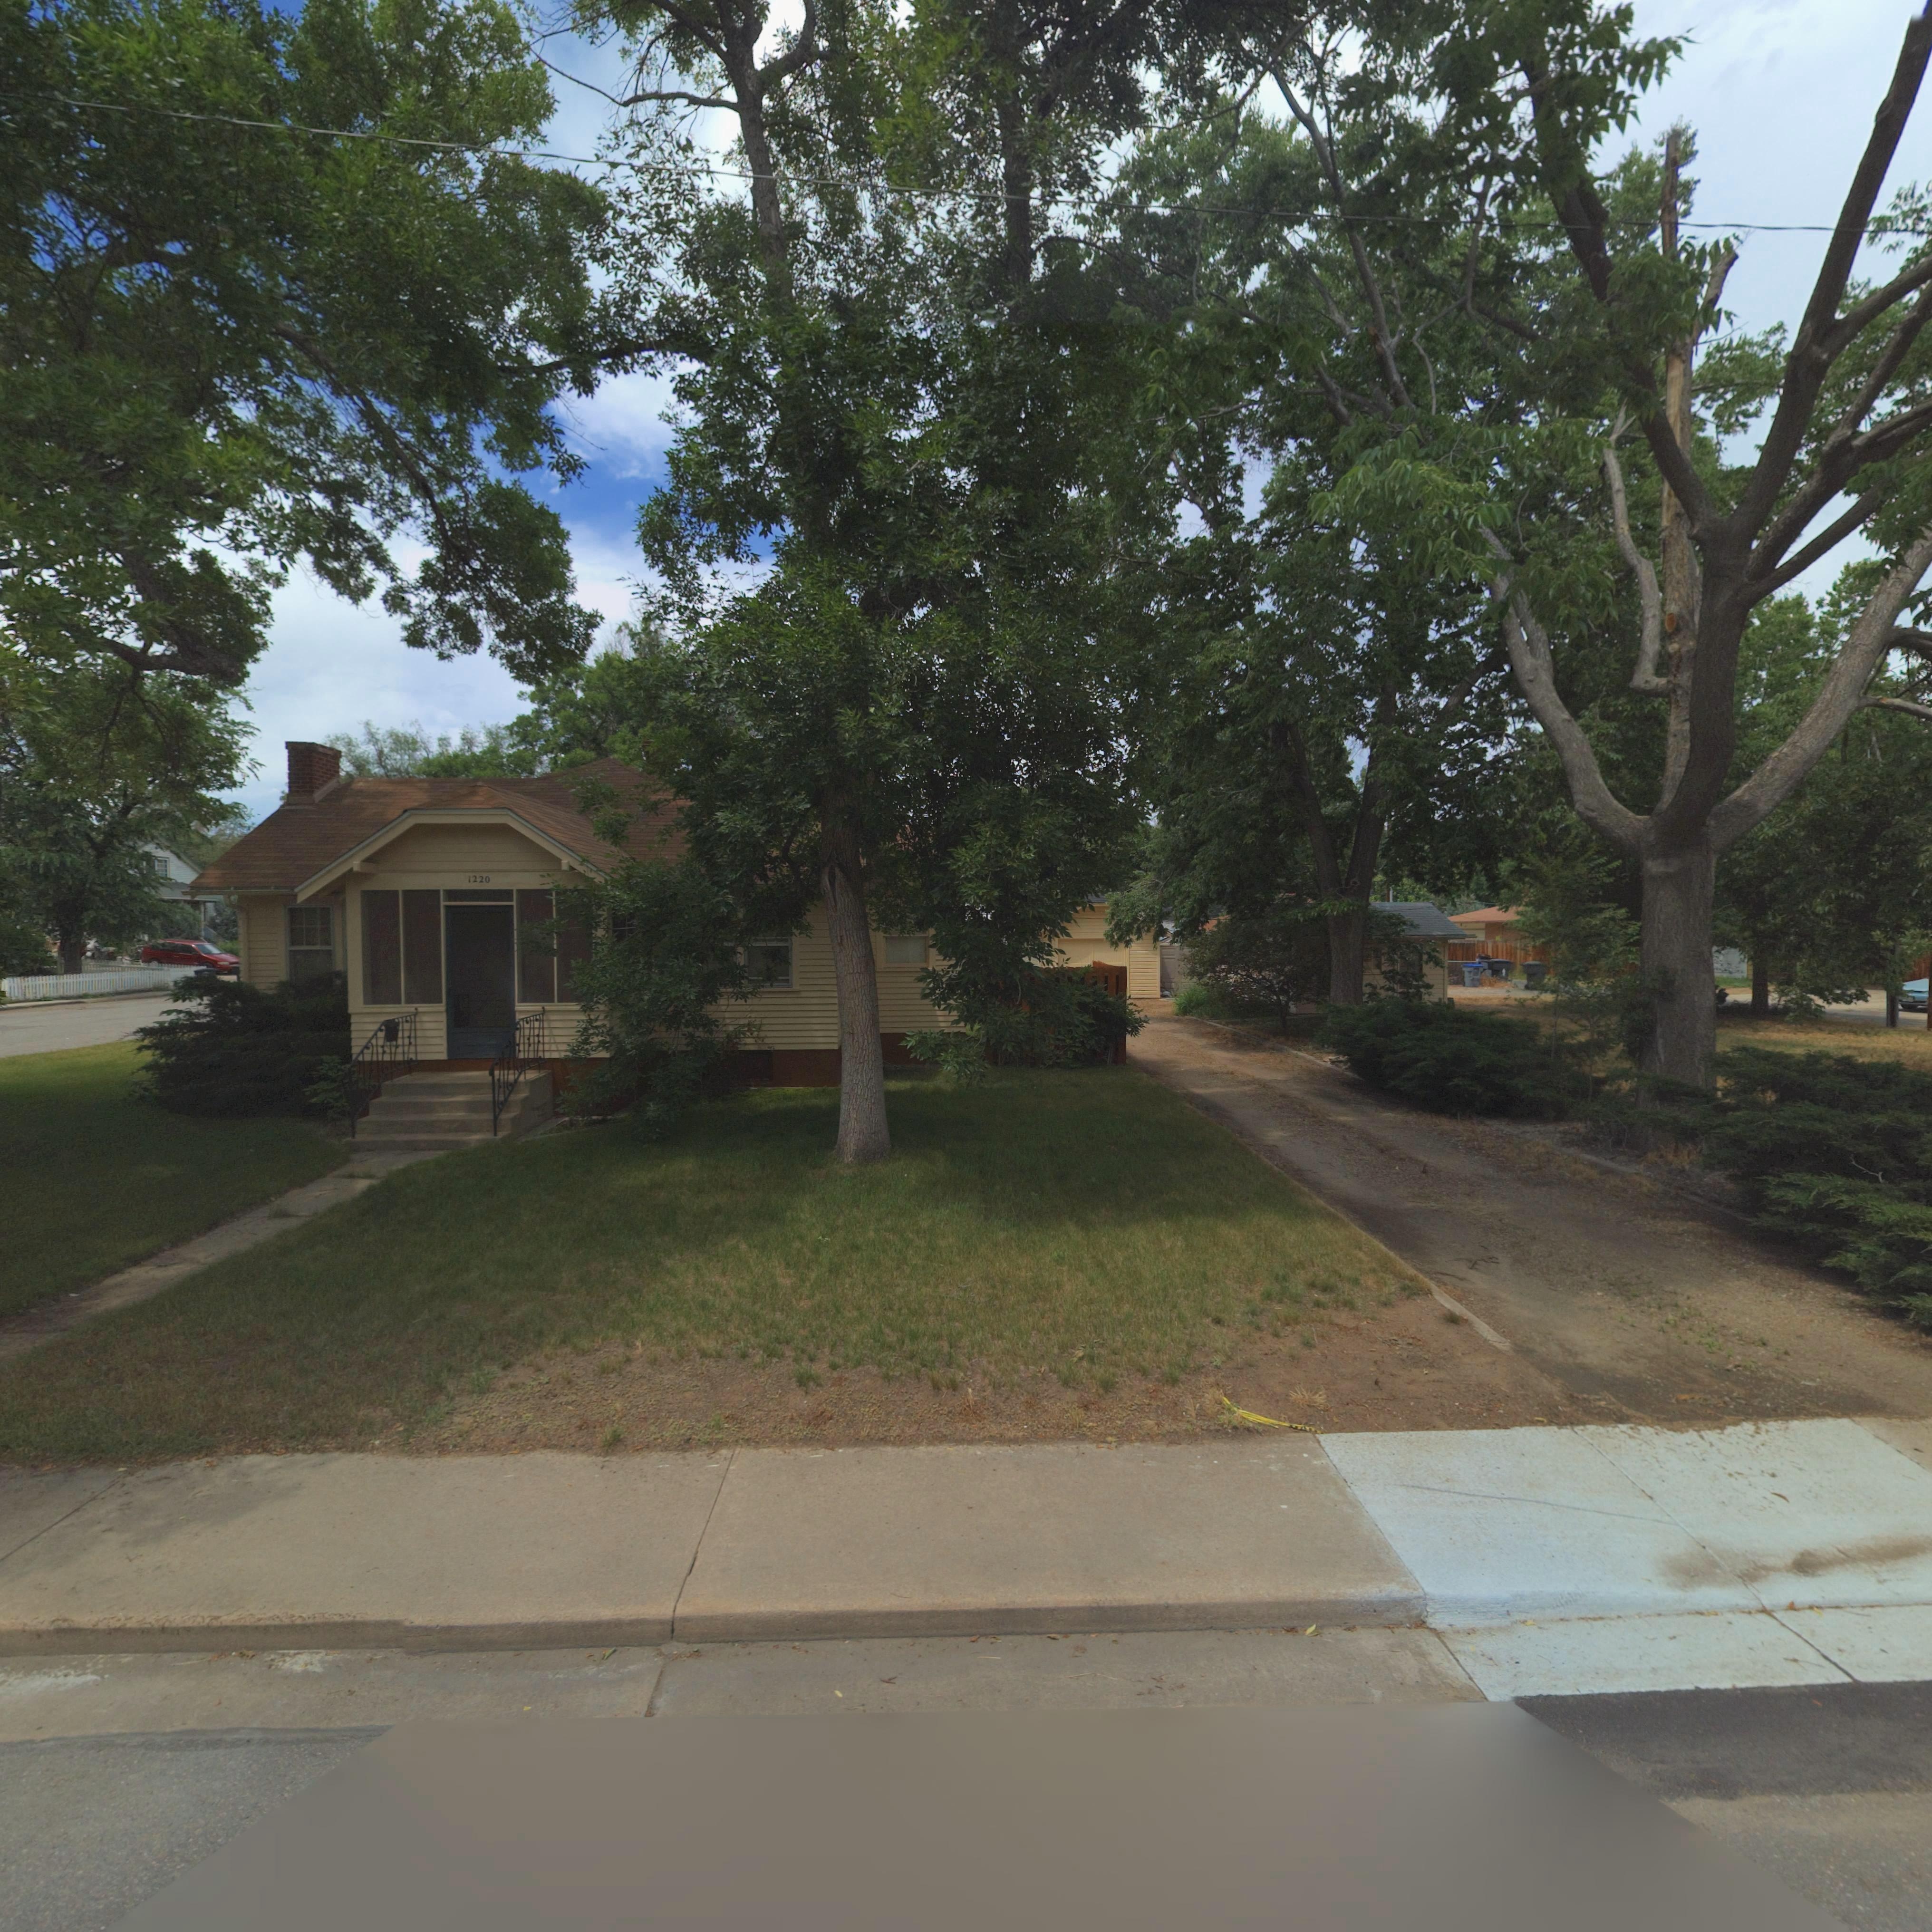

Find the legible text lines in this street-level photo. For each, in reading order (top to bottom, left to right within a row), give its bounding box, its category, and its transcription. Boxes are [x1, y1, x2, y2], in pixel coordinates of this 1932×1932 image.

[467, 875, 491, 883] StreetNumber: 1220